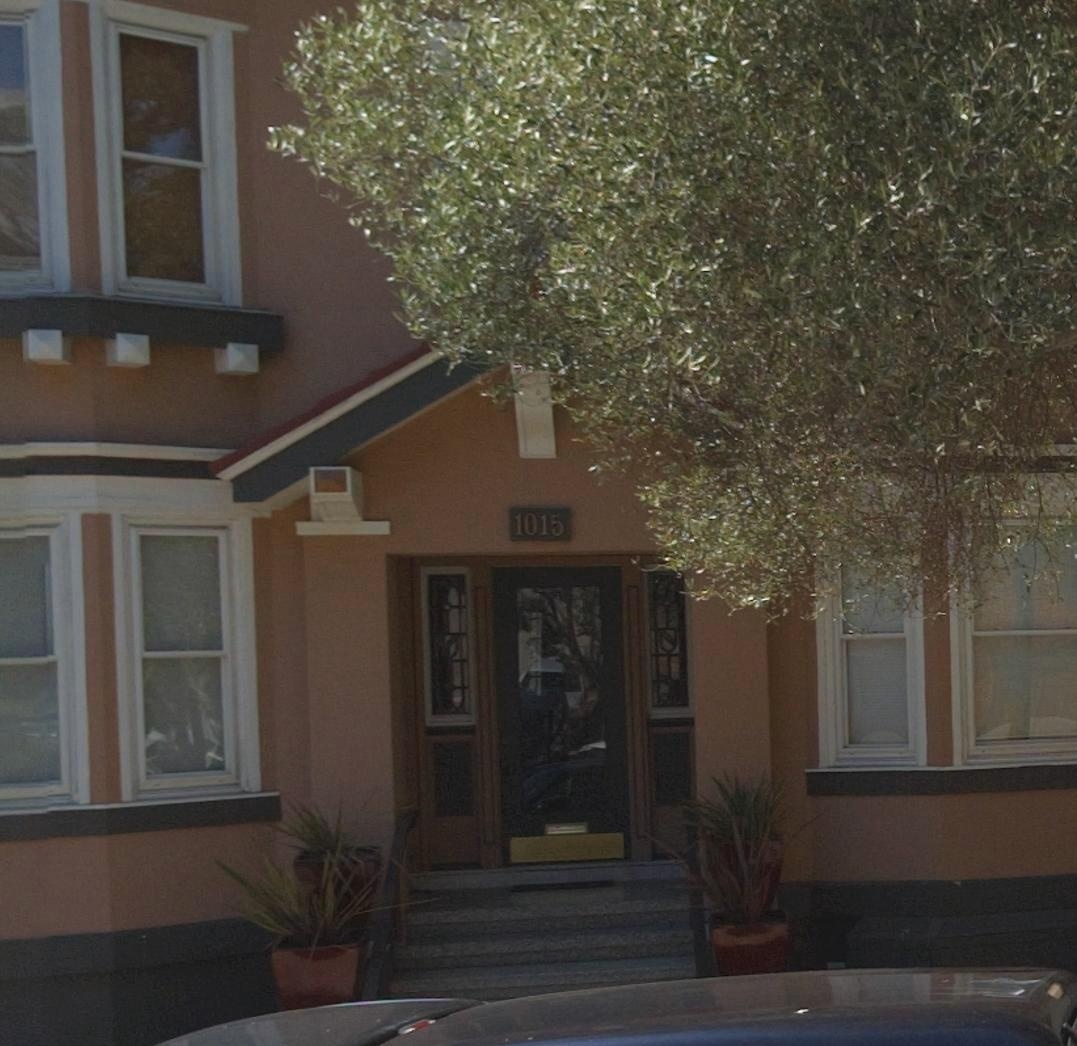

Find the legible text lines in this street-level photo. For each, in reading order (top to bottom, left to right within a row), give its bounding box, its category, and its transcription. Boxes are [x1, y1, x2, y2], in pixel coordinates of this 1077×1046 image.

[513, 511, 565, 539] StreetNumber: 1015